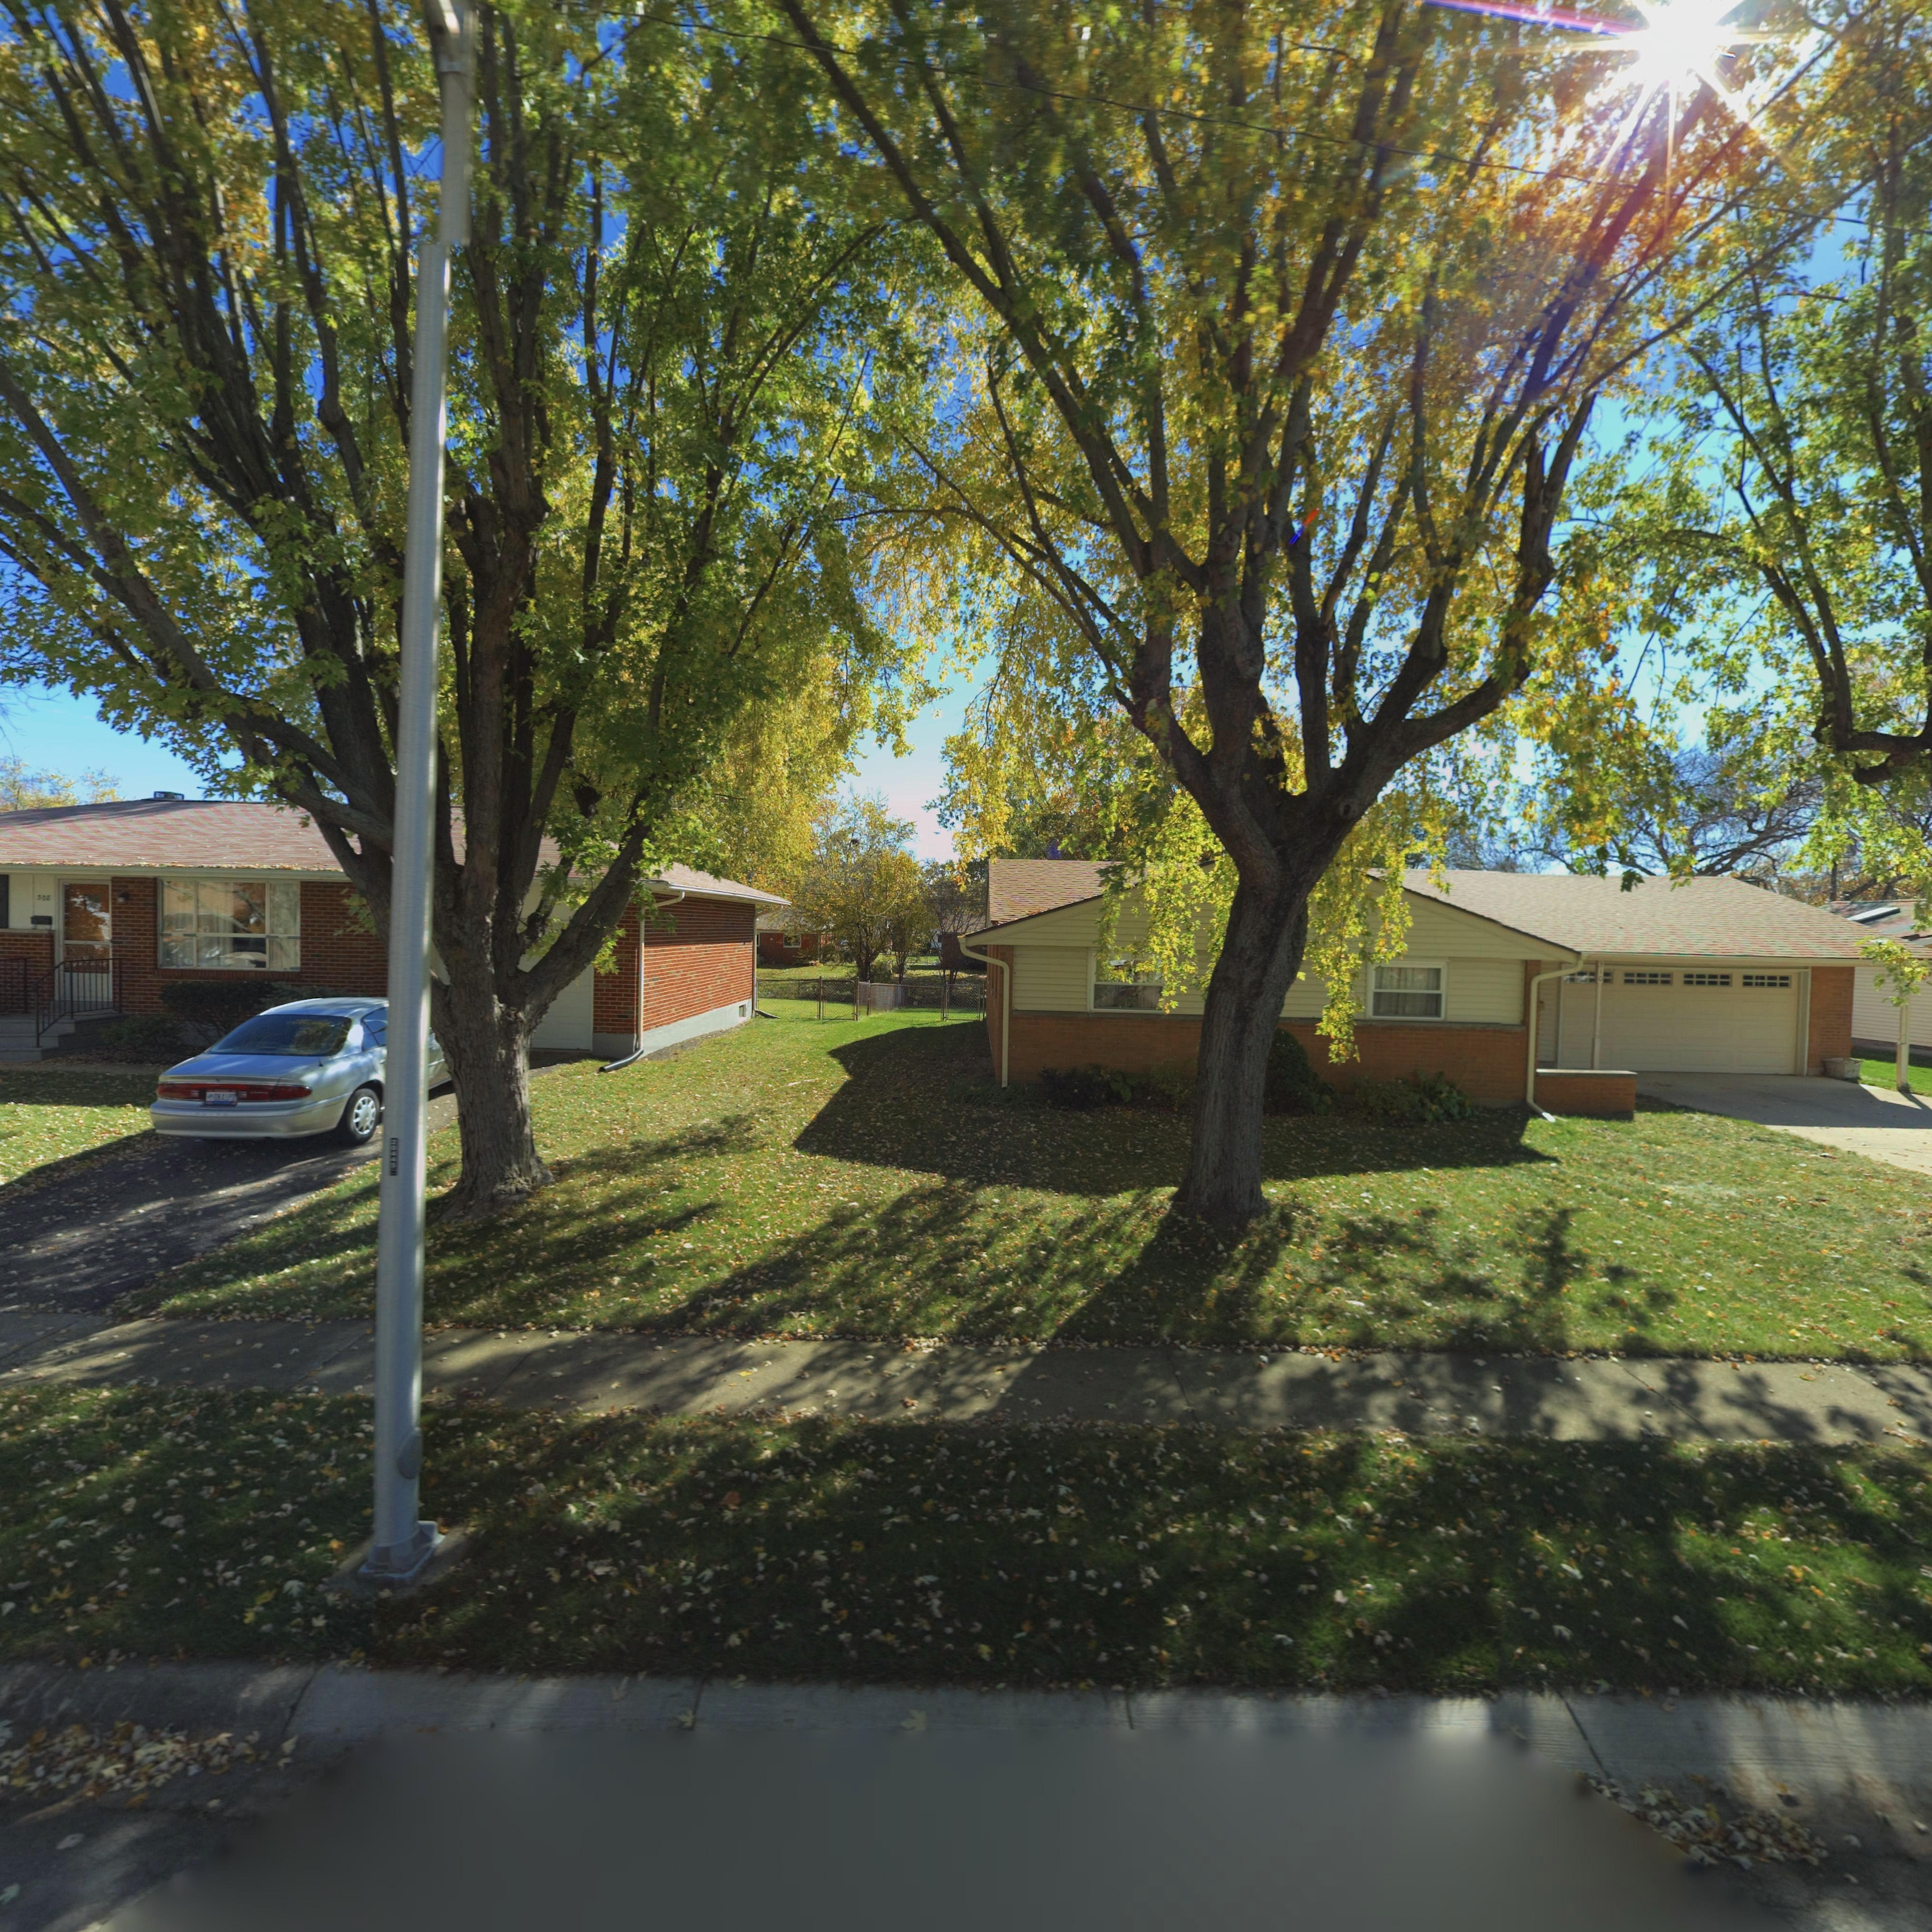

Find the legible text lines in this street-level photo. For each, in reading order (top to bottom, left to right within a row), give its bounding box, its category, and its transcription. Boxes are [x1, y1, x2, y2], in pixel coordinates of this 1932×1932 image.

[36, 893, 52, 902] StreetNumber: *0*
[1597, 959, 1604, 984] StreetNumber: 310
[213, 1092, 236, 1102] None: DM41PD